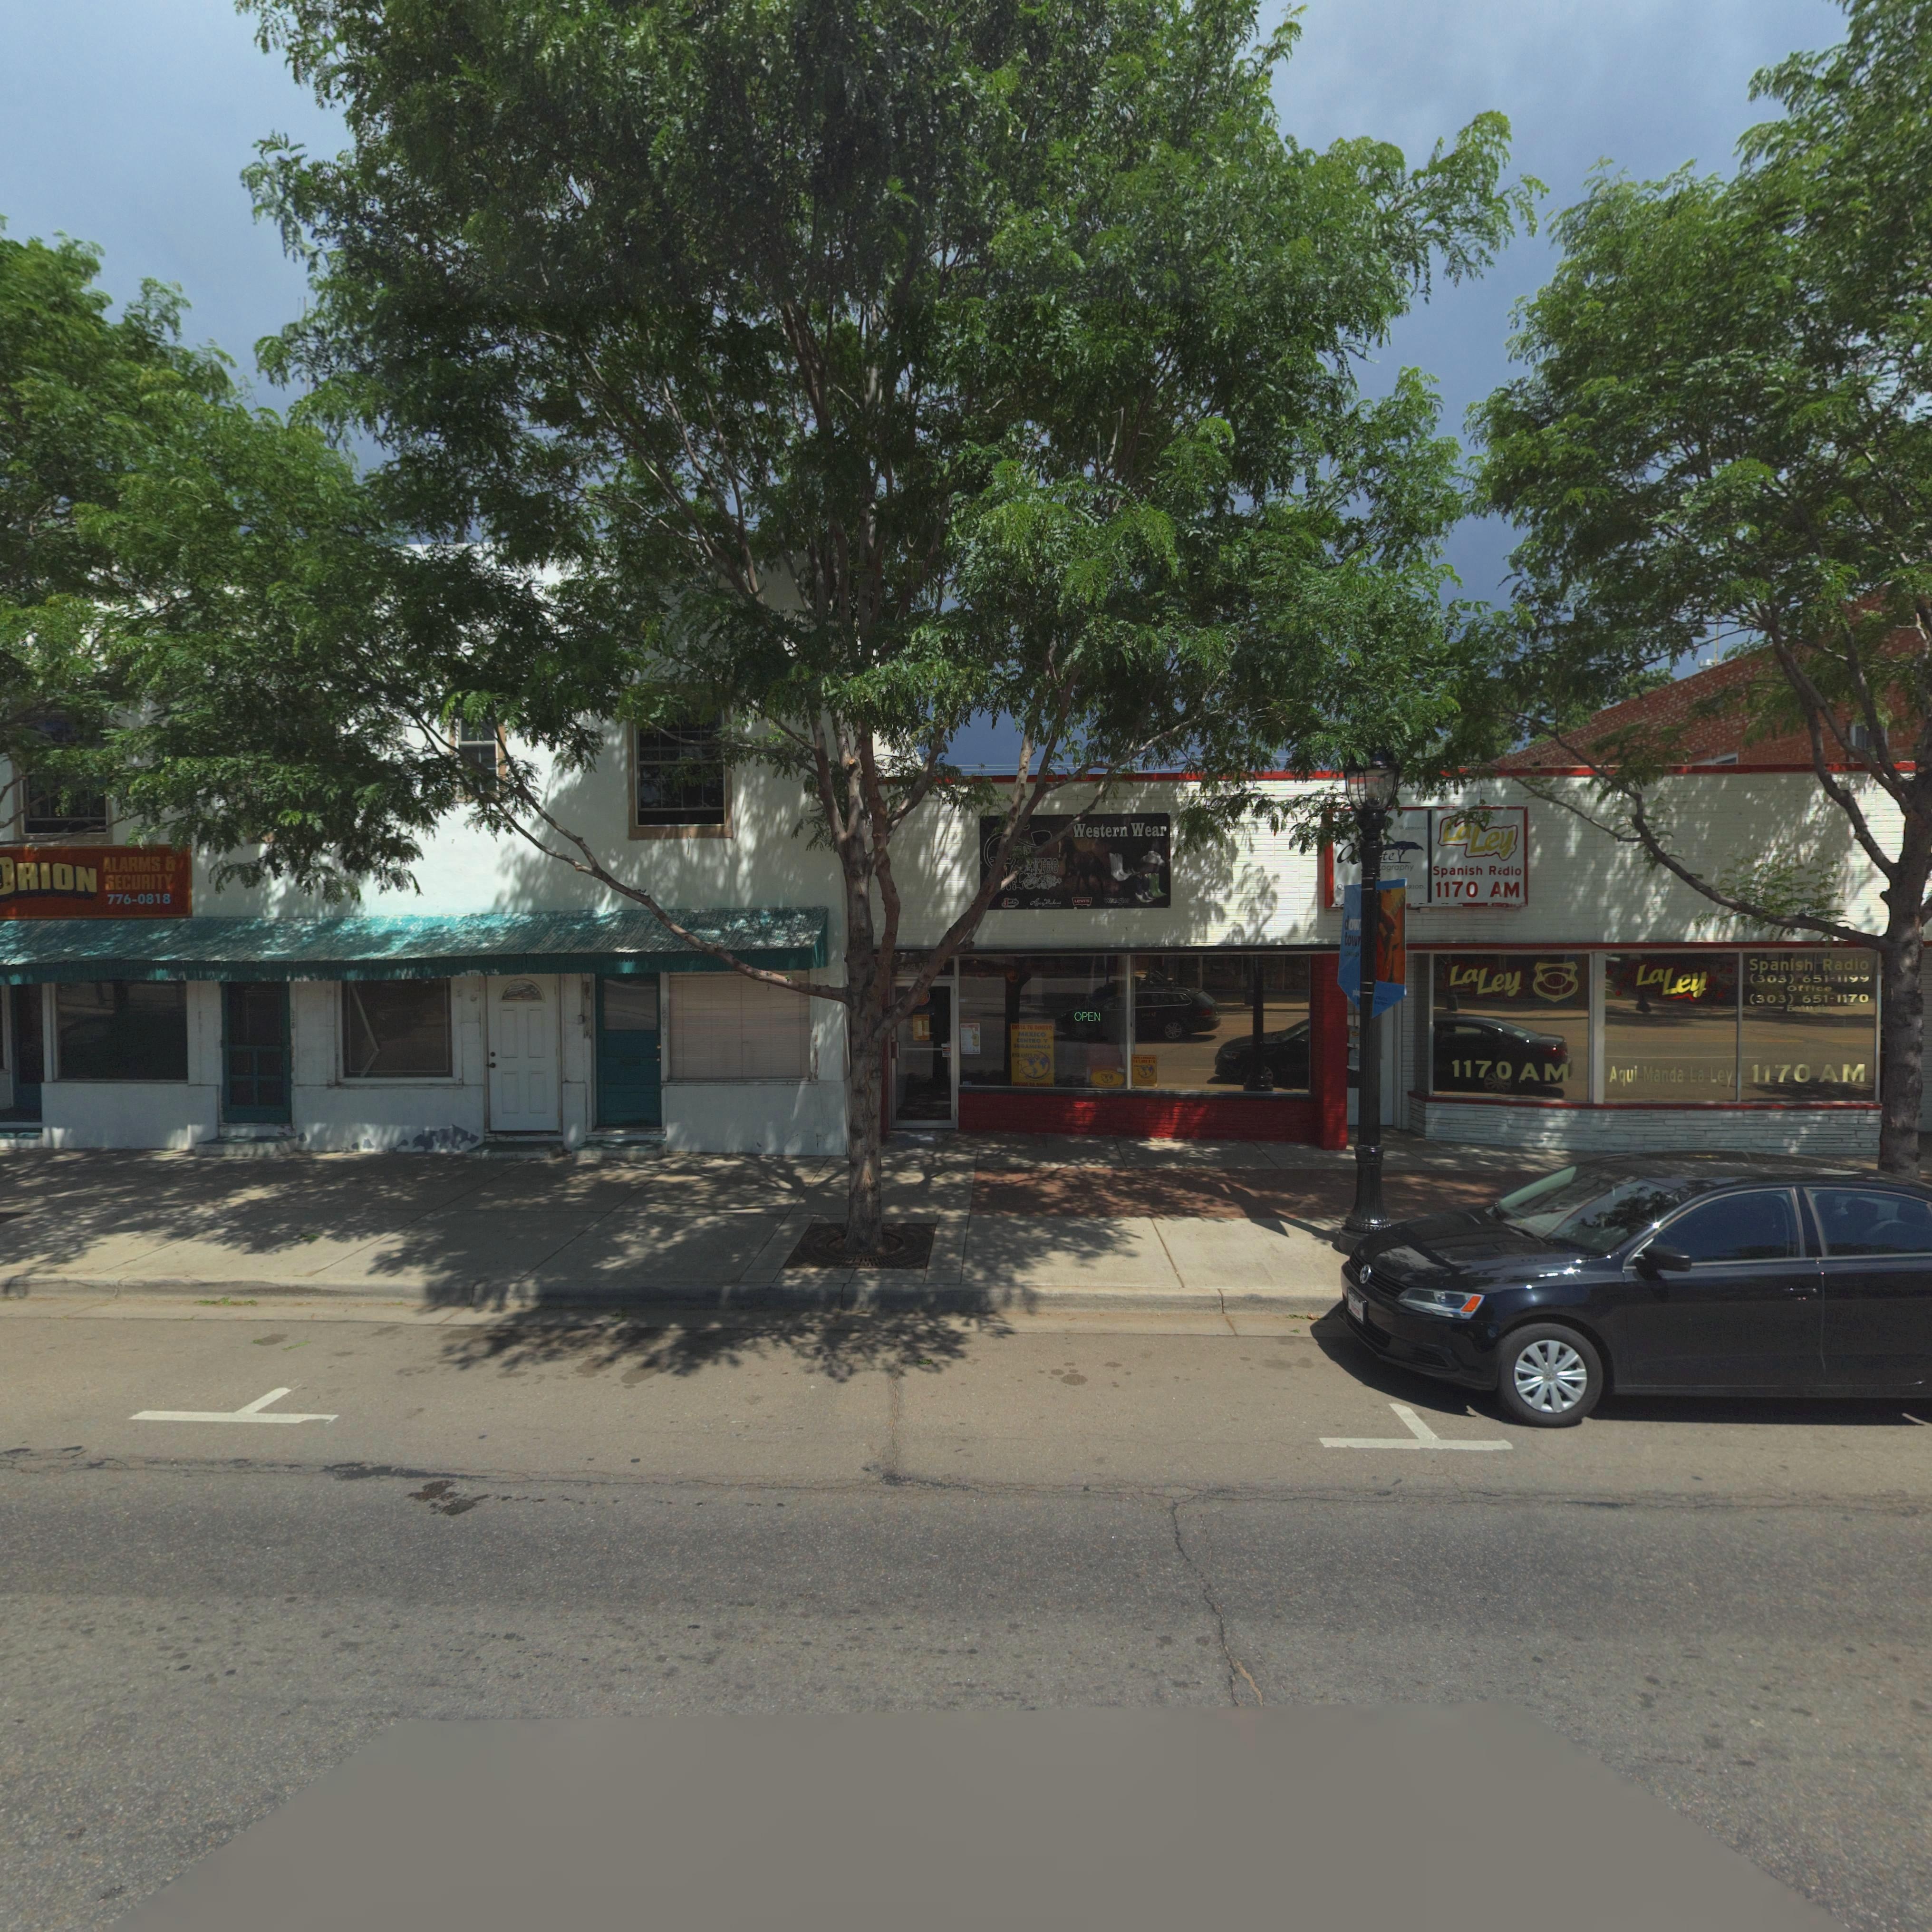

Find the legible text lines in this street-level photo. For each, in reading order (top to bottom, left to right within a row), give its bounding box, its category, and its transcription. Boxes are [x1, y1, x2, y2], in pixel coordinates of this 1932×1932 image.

[1440, 818, 1516, 860] BusinessName: LaLey
[16, 860, 98, 895] BusinessName: RION
[103, 873, 173, 891] None: SECURITY
[100, 855, 177, 873] BusinessName: ALARMS &
[1024, 857, 1059, 875] BusinessName: EXICO
[1448, 963, 1522, 998] BusinessName: LaLey
[1635, 962, 1709, 999] BusinessName: LaLey
[290, 1006, 295, 1028] StreetNumber: 628
[662, 1003, 668, 1027] StreetNumber: 626